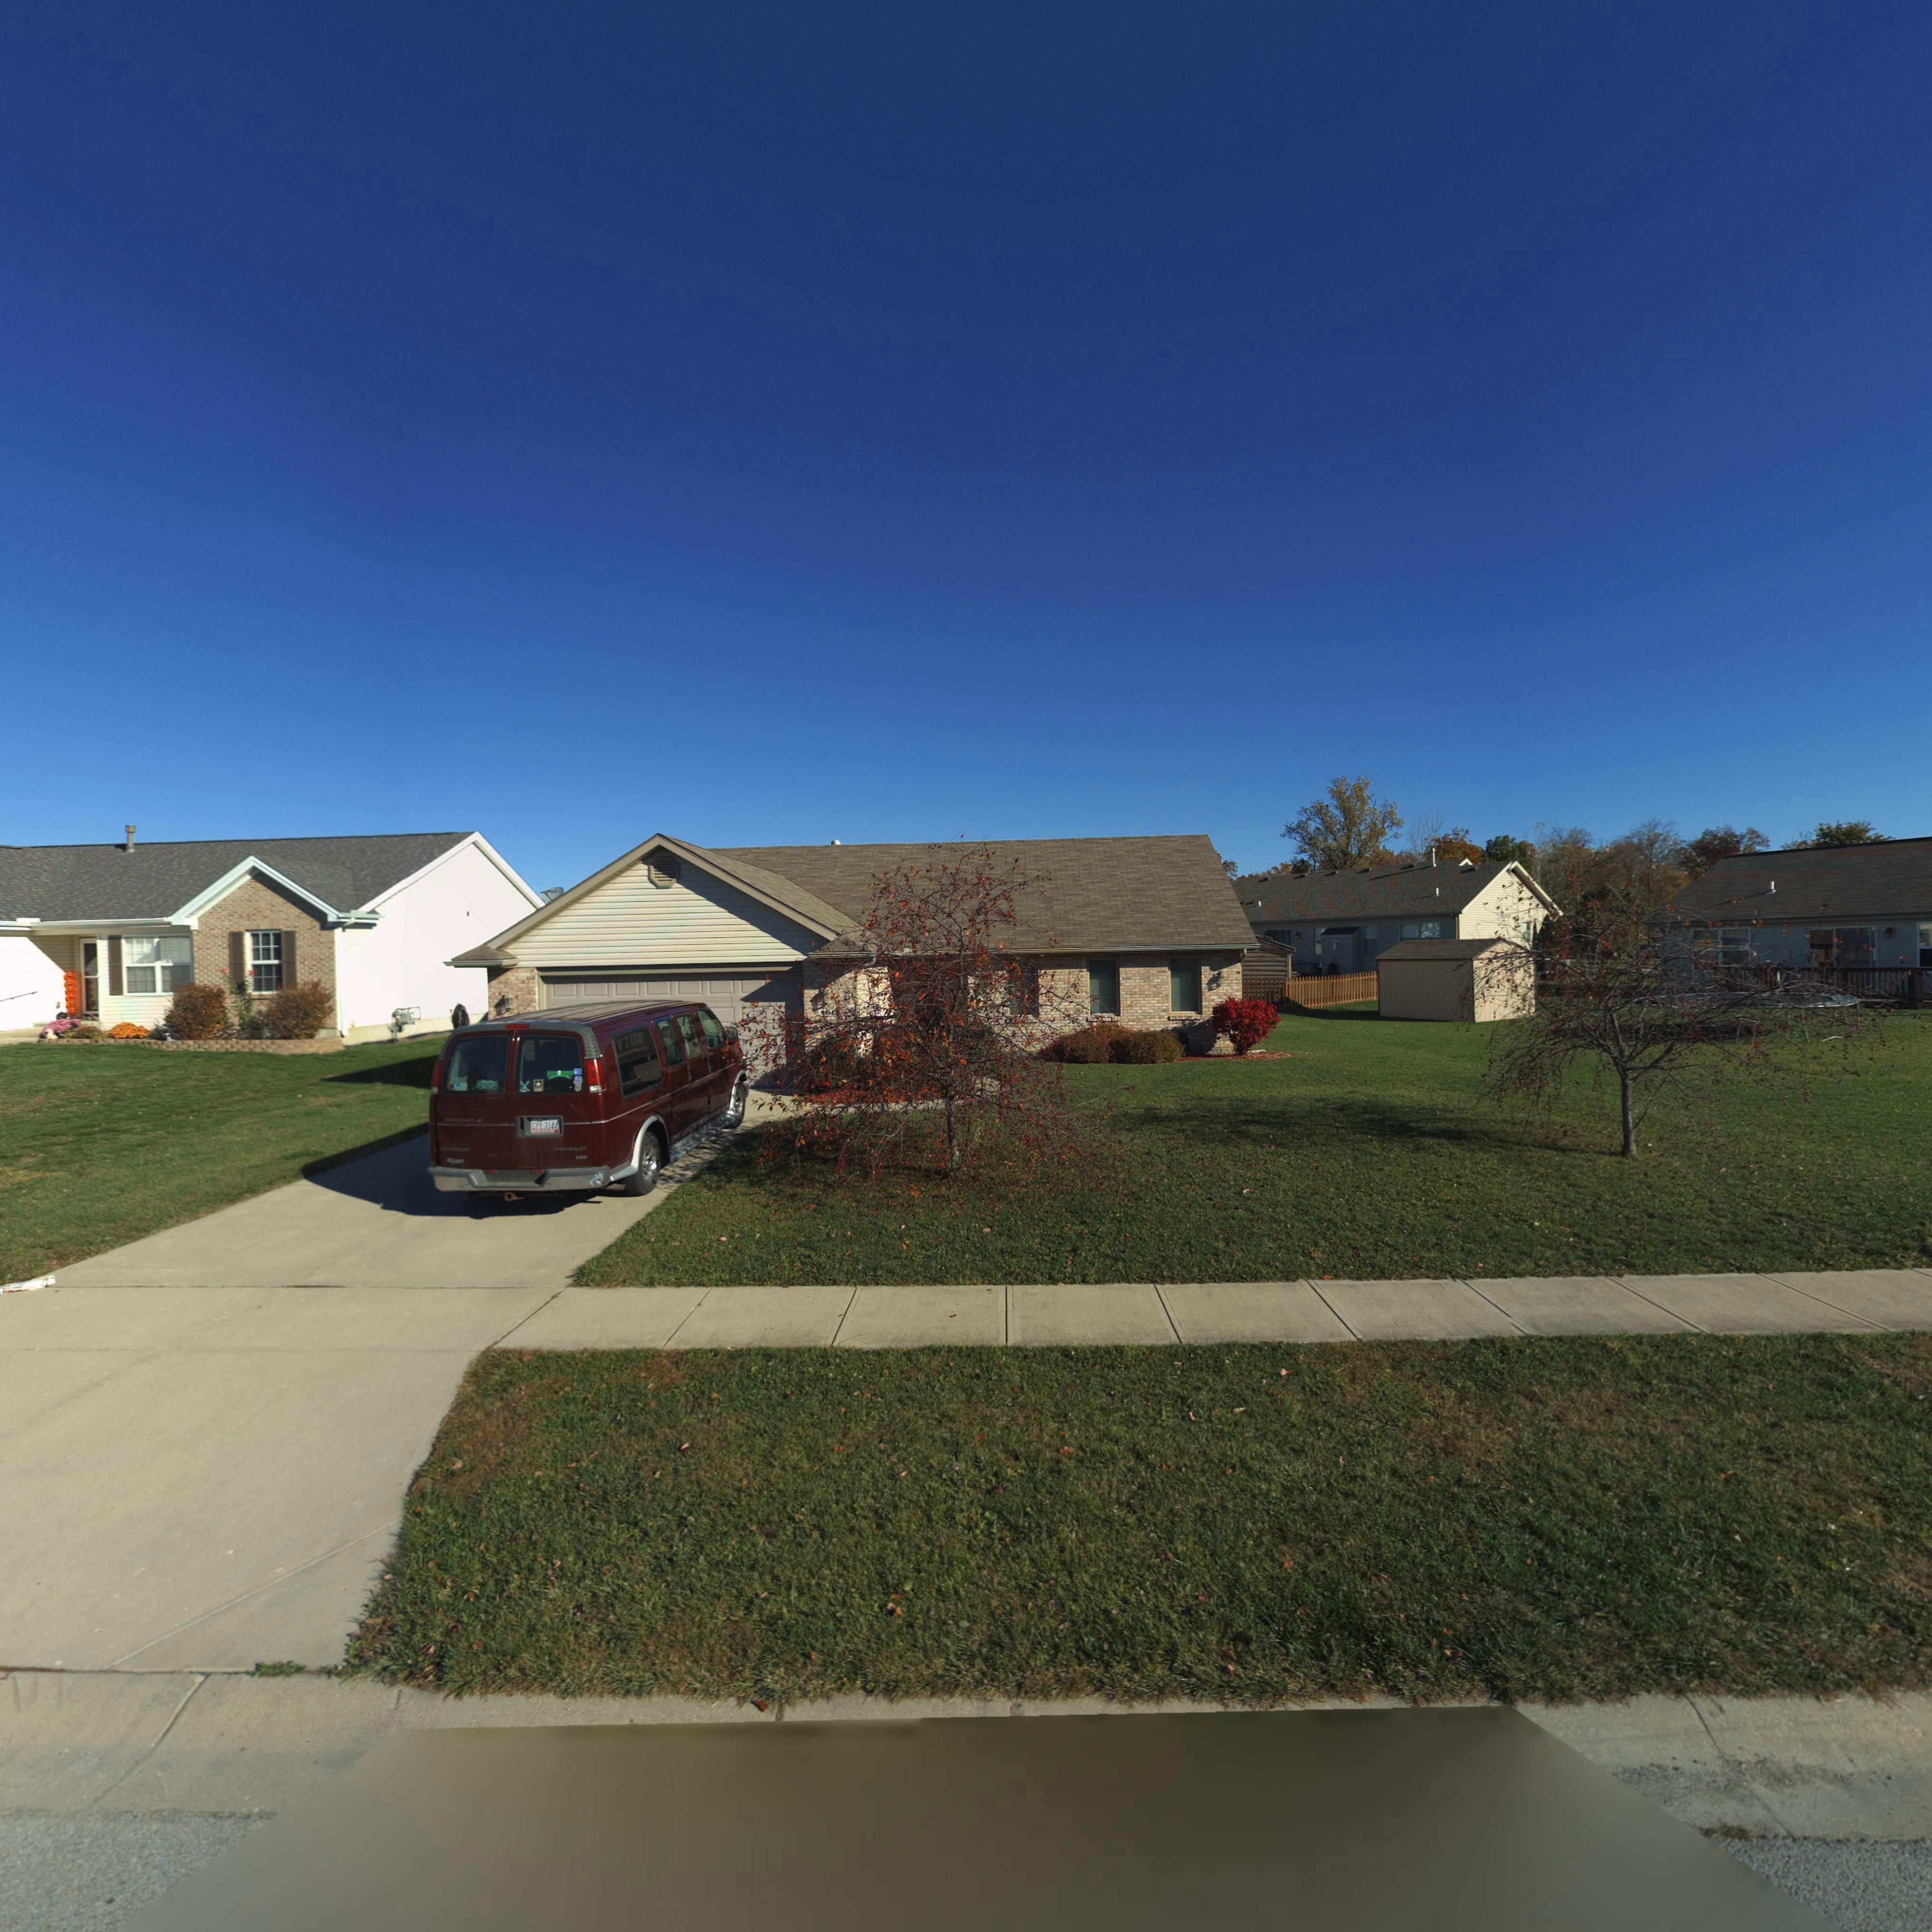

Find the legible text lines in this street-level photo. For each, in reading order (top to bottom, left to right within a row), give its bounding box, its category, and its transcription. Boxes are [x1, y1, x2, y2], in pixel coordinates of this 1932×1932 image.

[825, 1009, 831, 1015] StreetNumber: 6